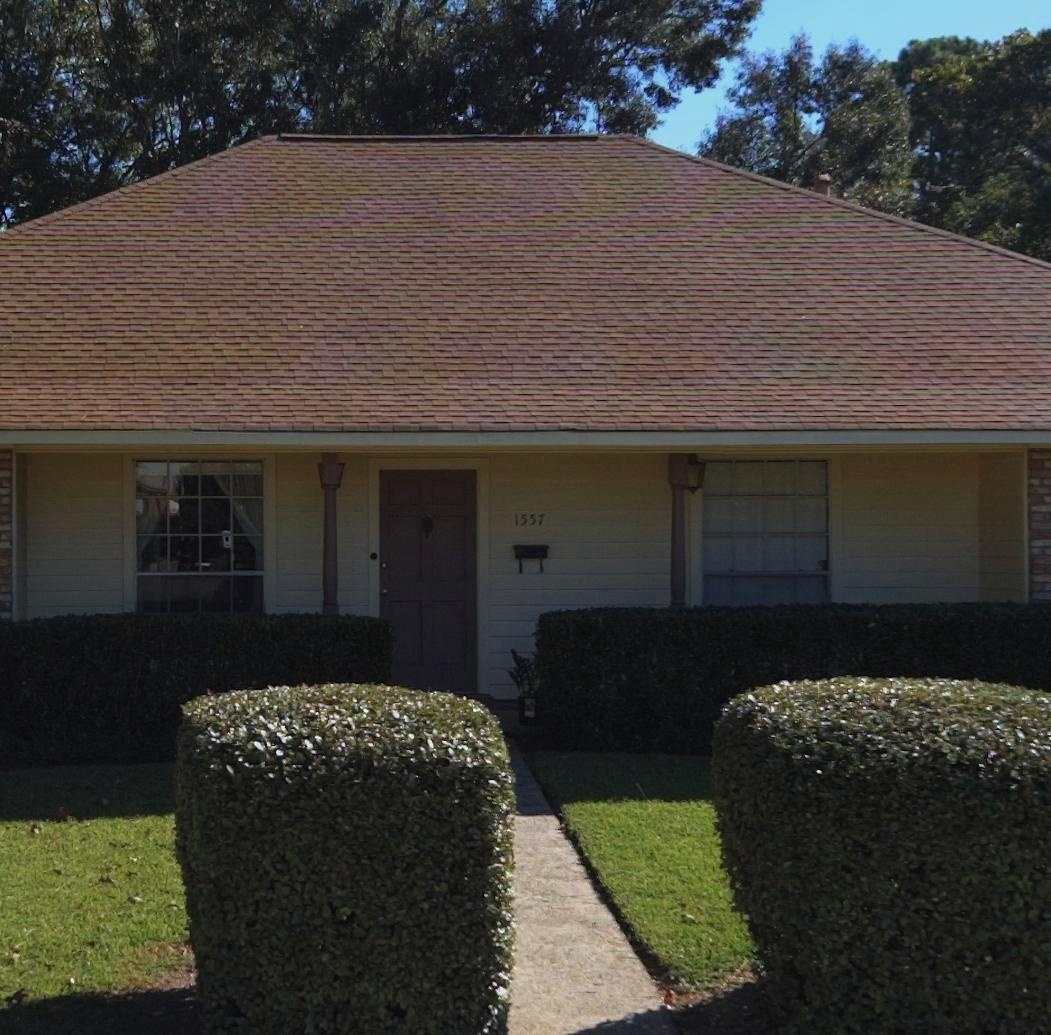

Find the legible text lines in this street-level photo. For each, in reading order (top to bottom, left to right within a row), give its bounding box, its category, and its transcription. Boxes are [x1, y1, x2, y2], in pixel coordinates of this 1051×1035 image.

[513, 511, 548, 528] StreetNumber: 1557